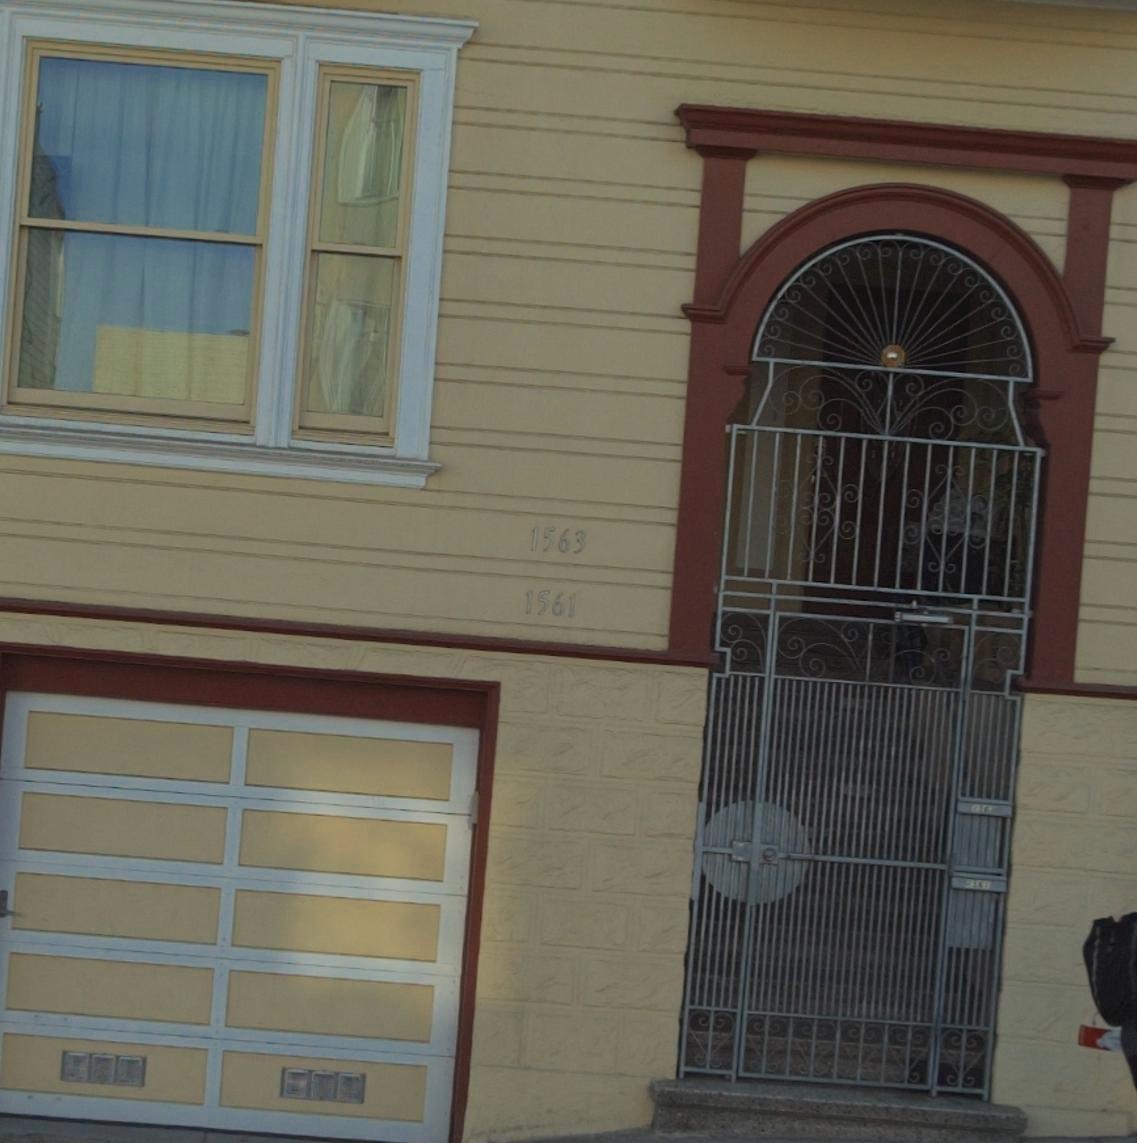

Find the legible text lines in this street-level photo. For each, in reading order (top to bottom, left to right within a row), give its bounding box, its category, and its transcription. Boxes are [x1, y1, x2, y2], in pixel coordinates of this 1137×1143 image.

[529, 524, 590, 556] StreetNumber: 1563
[521, 587, 579, 621] StreetNumber: 1561